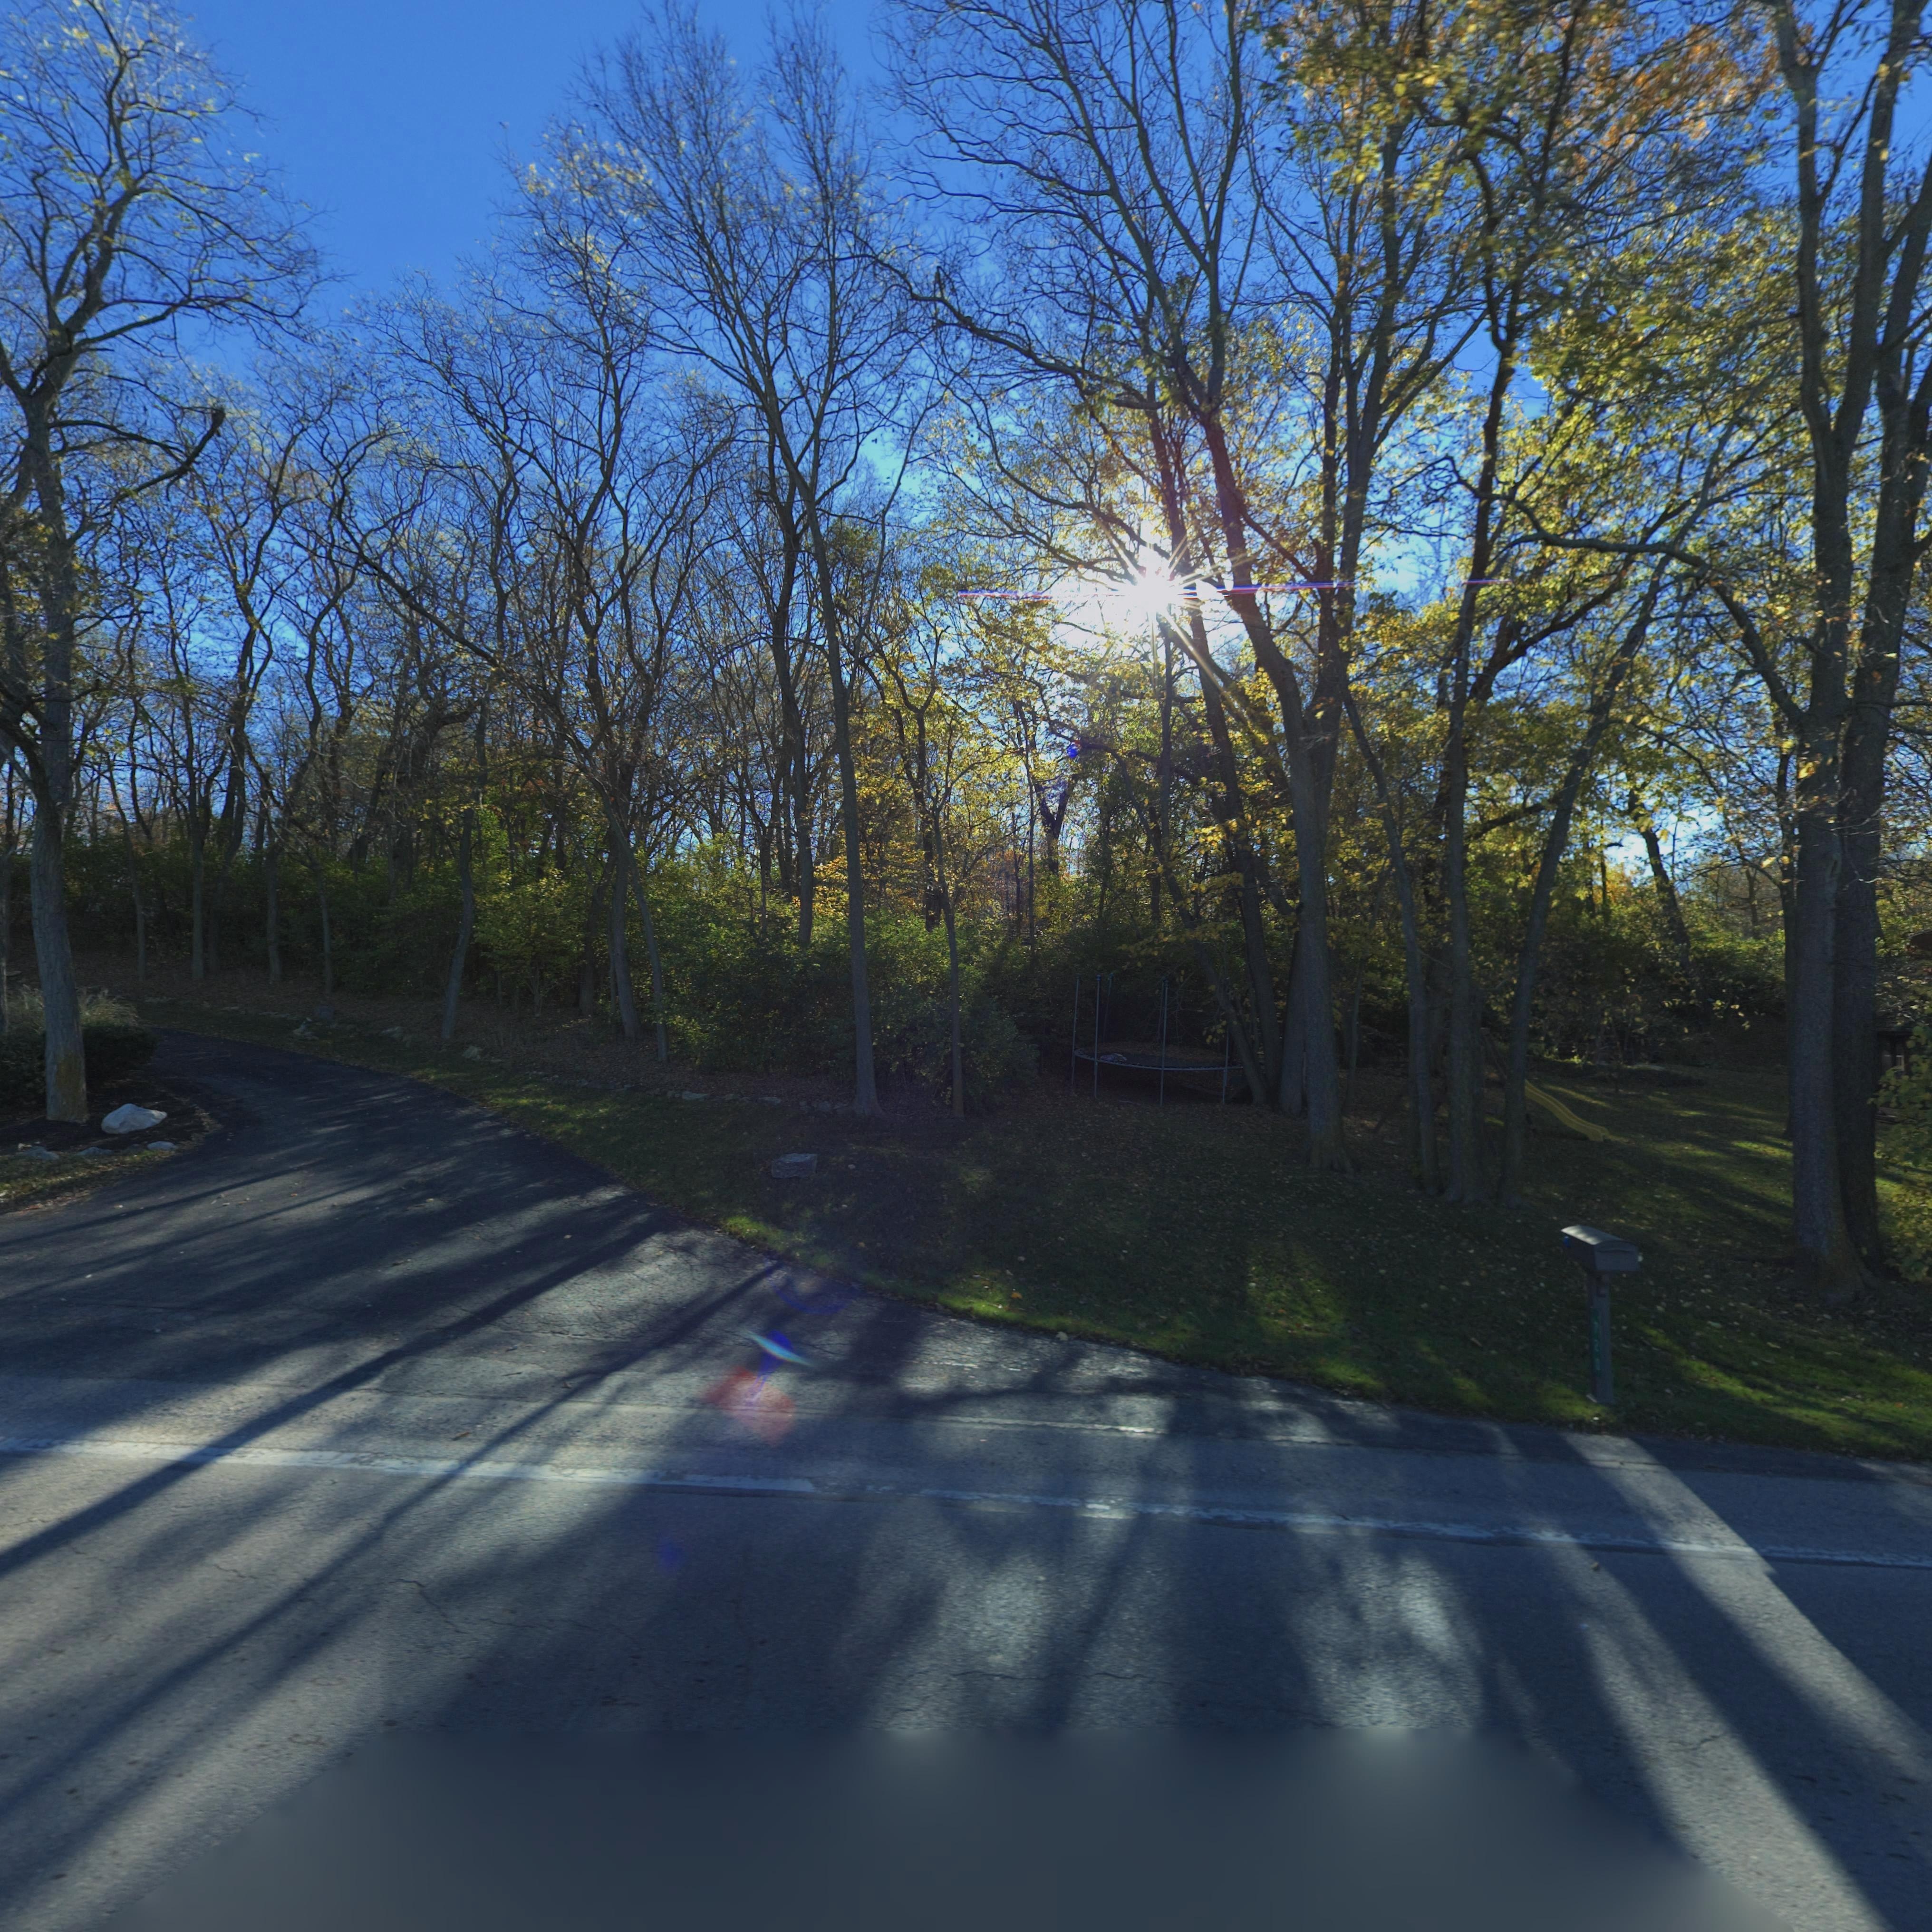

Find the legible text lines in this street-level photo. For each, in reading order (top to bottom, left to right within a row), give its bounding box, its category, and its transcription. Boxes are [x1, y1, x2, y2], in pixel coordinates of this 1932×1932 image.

[1591, 1320, 1602, 1373] StreetNumber: *2*